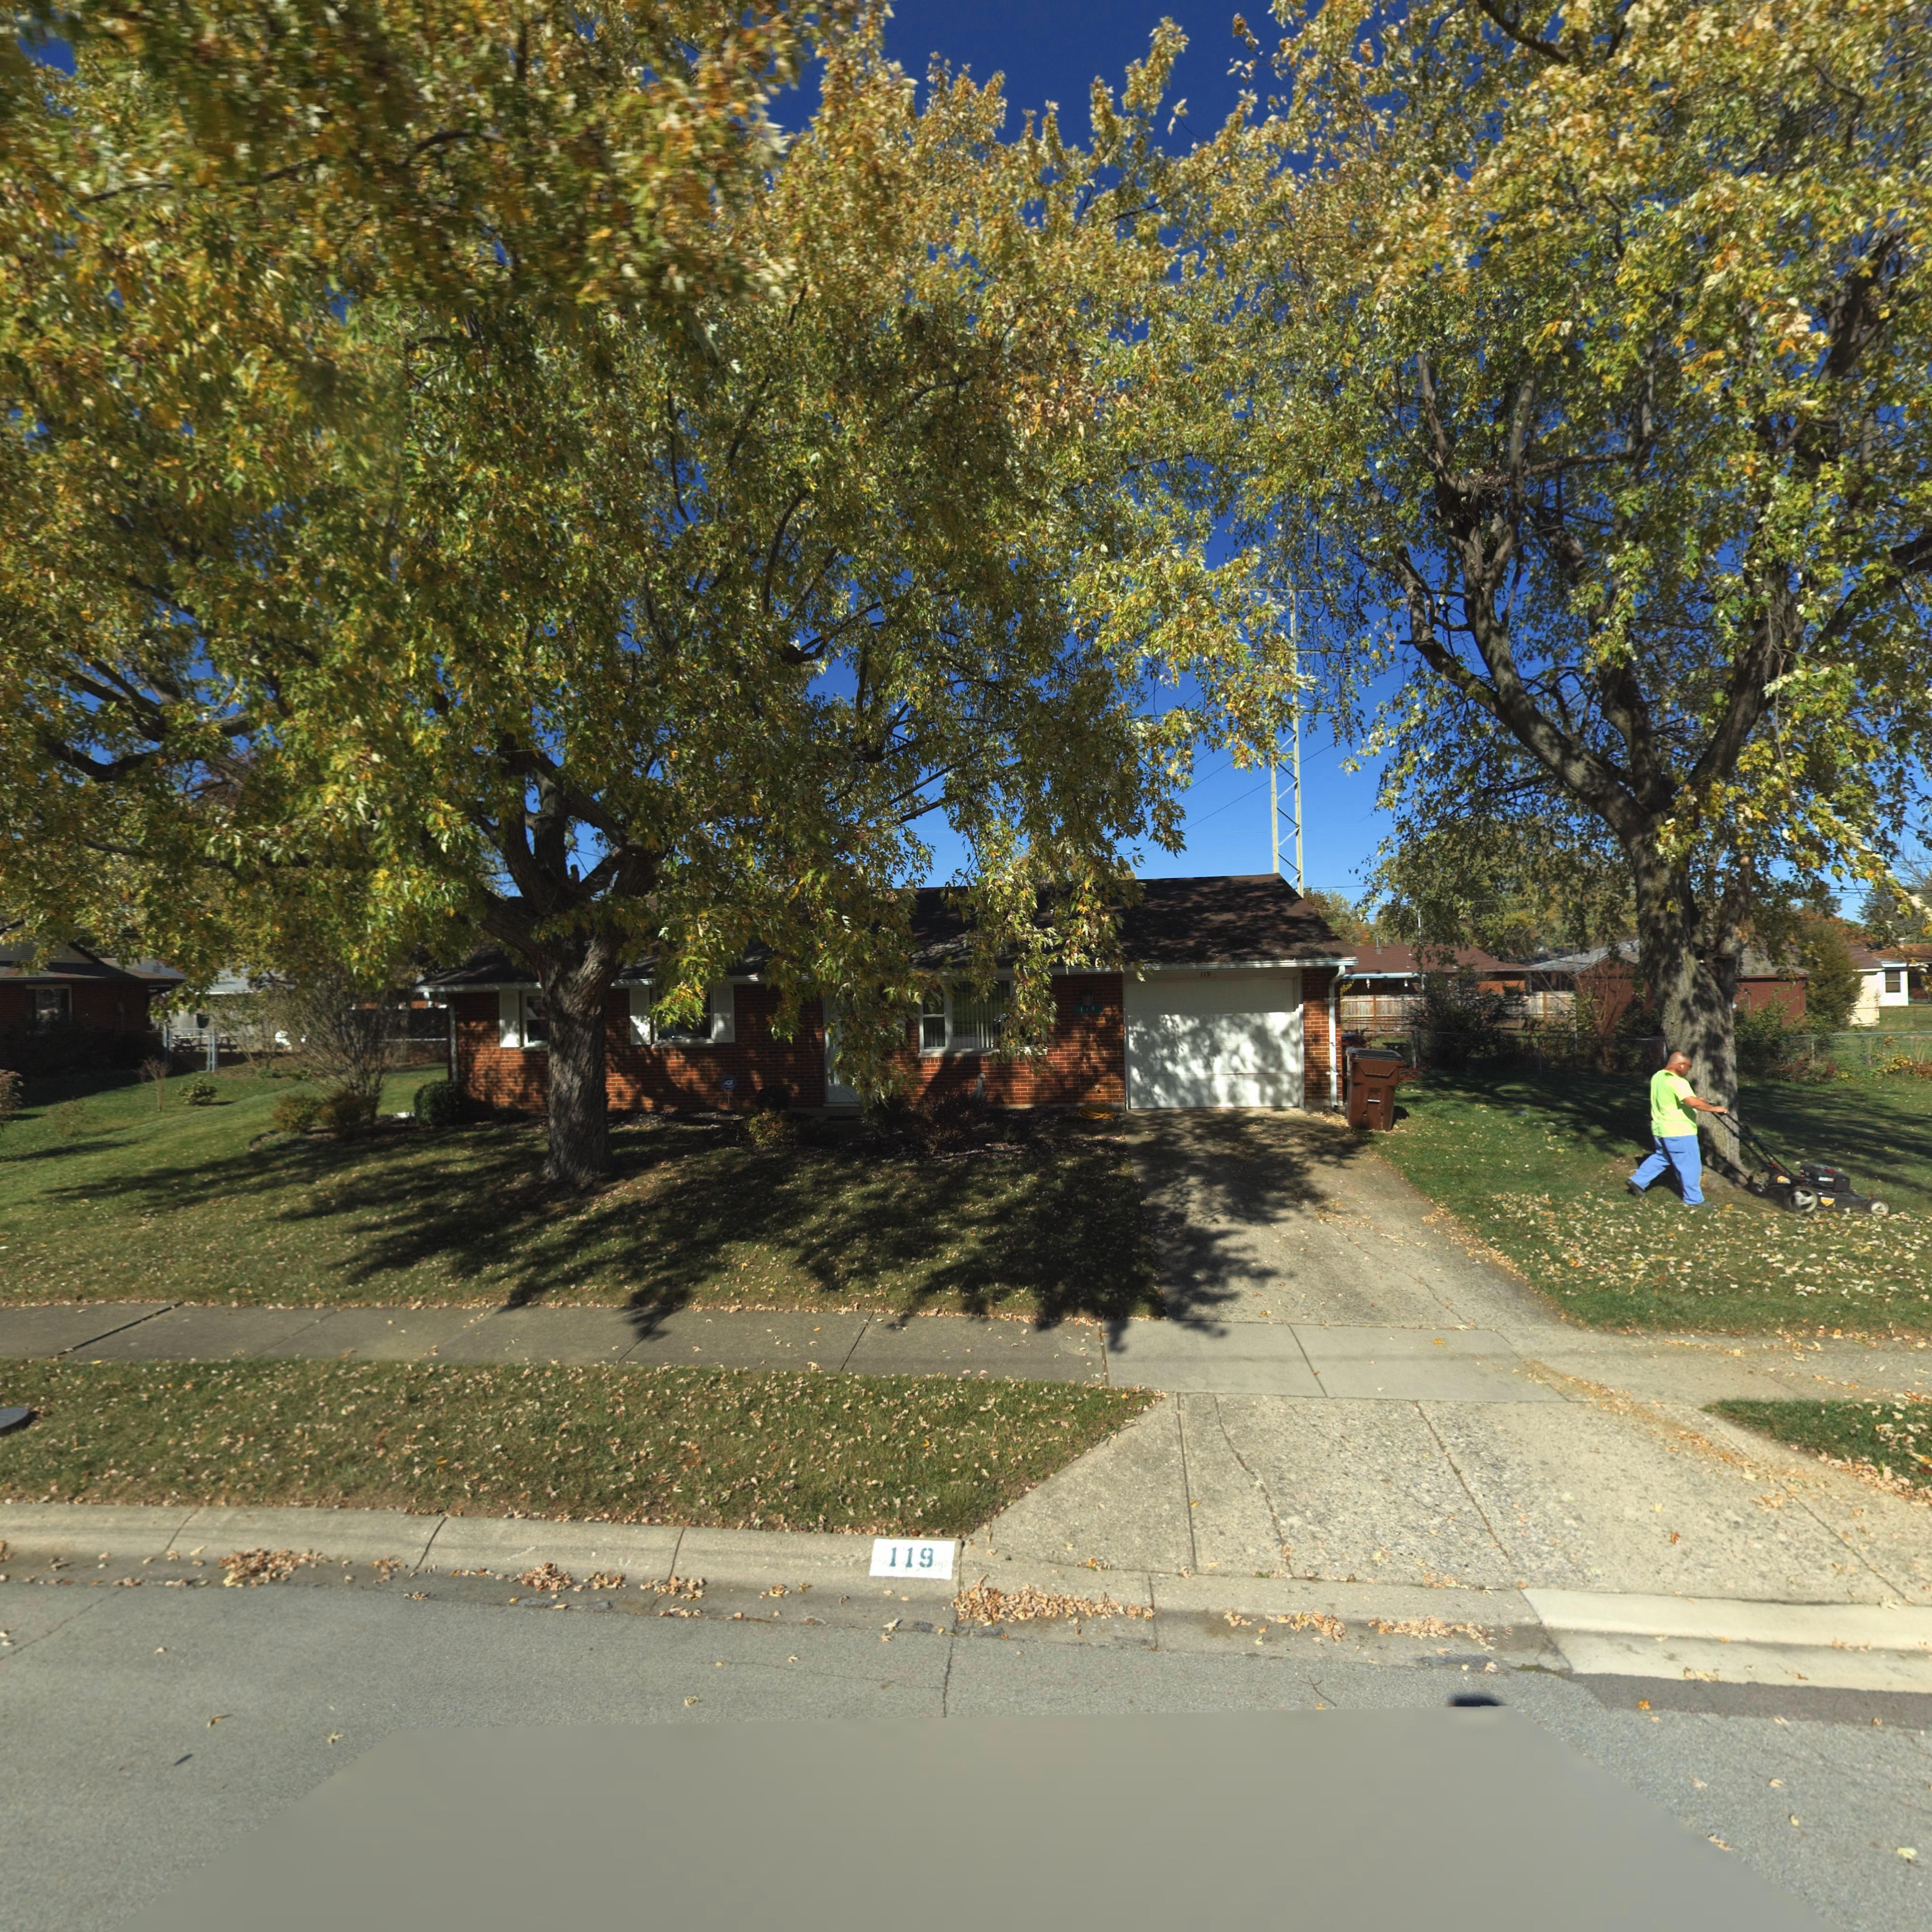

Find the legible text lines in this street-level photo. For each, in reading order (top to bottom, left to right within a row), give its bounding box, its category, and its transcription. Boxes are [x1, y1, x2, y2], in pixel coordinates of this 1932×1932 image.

[1200, 970, 1212, 978] StreetNumber: 119
[1080, 1005, 1096, 1013] StreetNumber: 1*9
[887, 1546, 935, 1570] StreetNumber: 119